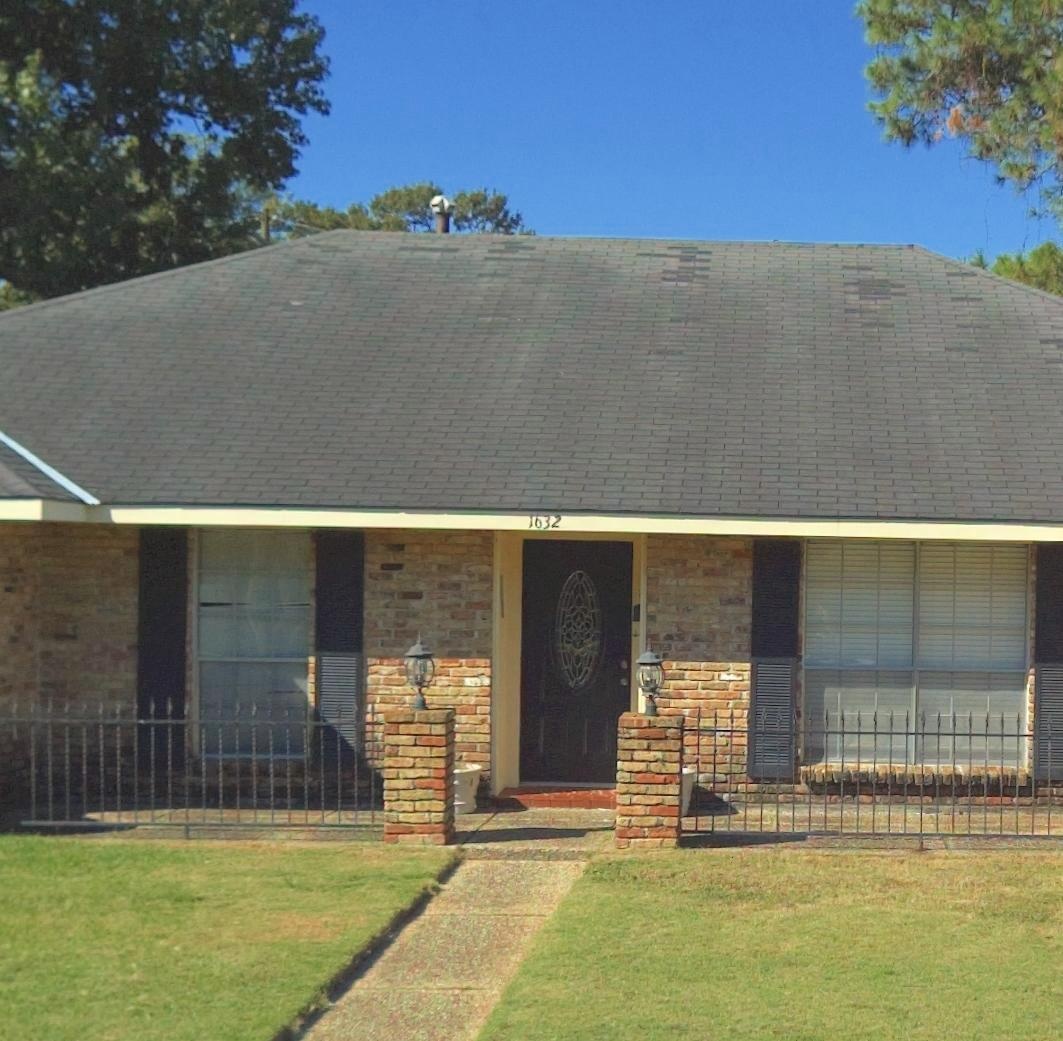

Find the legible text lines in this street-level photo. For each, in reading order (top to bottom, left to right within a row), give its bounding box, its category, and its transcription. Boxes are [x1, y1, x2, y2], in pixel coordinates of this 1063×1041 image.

[527, 512, 564, 532] StreetNumber: 1632